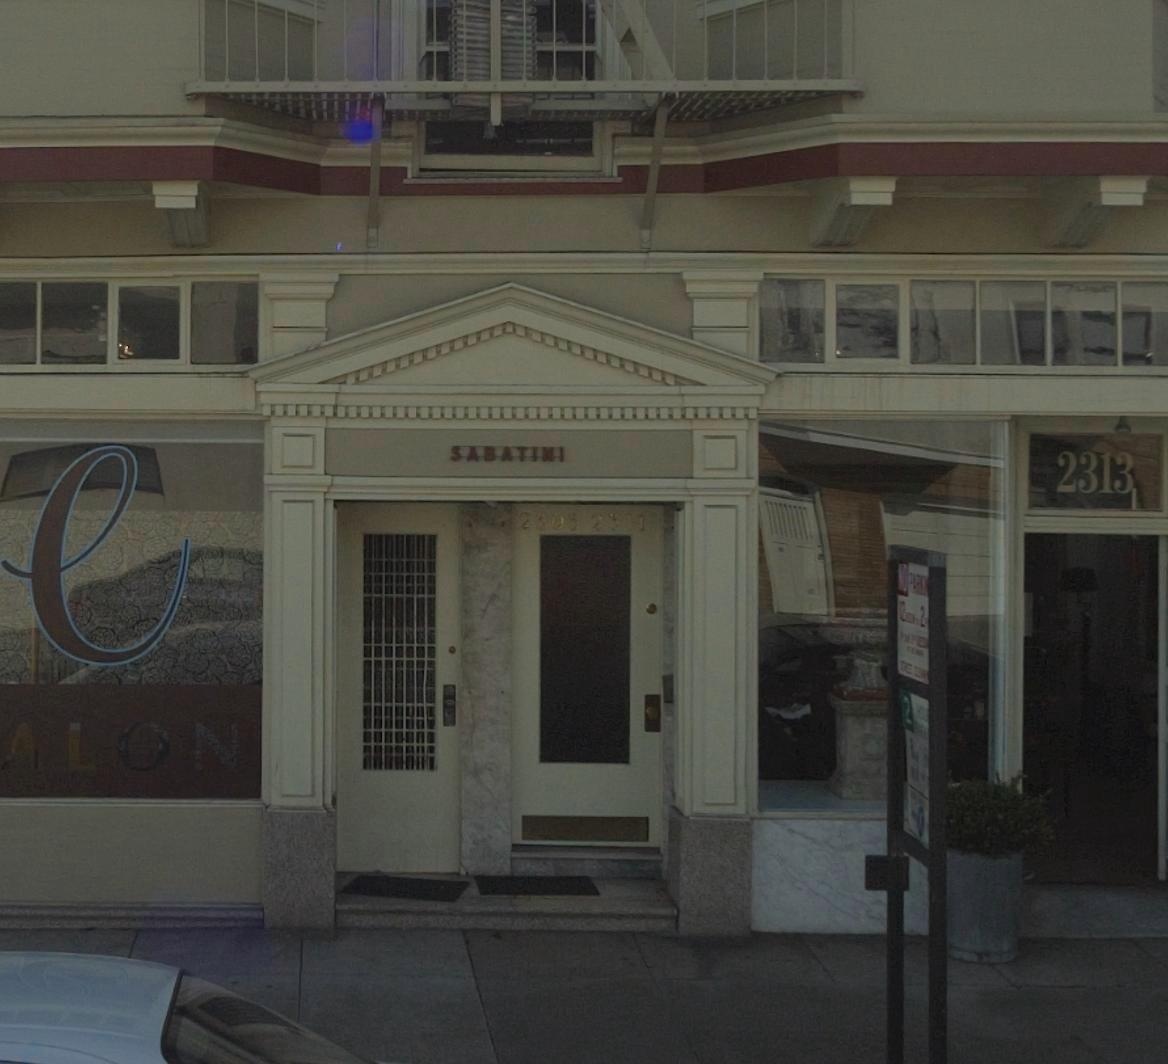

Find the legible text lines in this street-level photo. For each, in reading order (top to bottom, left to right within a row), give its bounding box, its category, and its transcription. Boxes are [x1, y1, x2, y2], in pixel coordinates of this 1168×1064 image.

[448, 443, 568, 465] BusinessName: SABATINI
[1052, 447, 1138, 497] StreetNumber: 2313
[516, 509, 580, 534] StreetNumber: 2305
[588, 509, 648, 535] StreetNumber: 23**
[24, 441, 195, 668] BusinessName: e
[917, 603, 927, 631] None: 2
[900, 692, 916, 729] None: 2
[0, 717, 243, 776] BusinessName: ALON